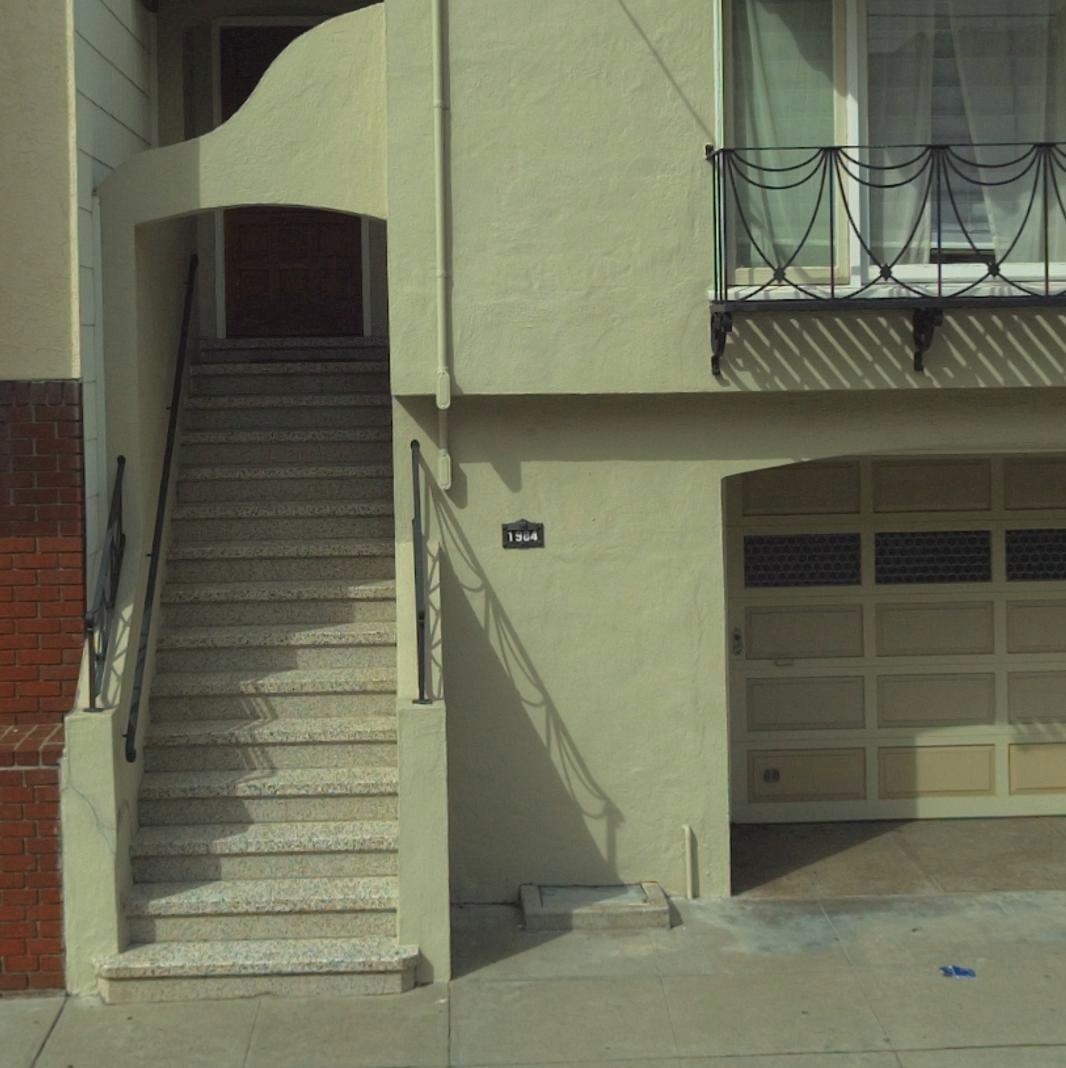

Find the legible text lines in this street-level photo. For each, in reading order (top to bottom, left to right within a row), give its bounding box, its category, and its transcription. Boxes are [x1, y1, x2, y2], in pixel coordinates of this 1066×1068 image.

[505, 528, 541, 545] StreetNumber: 1984